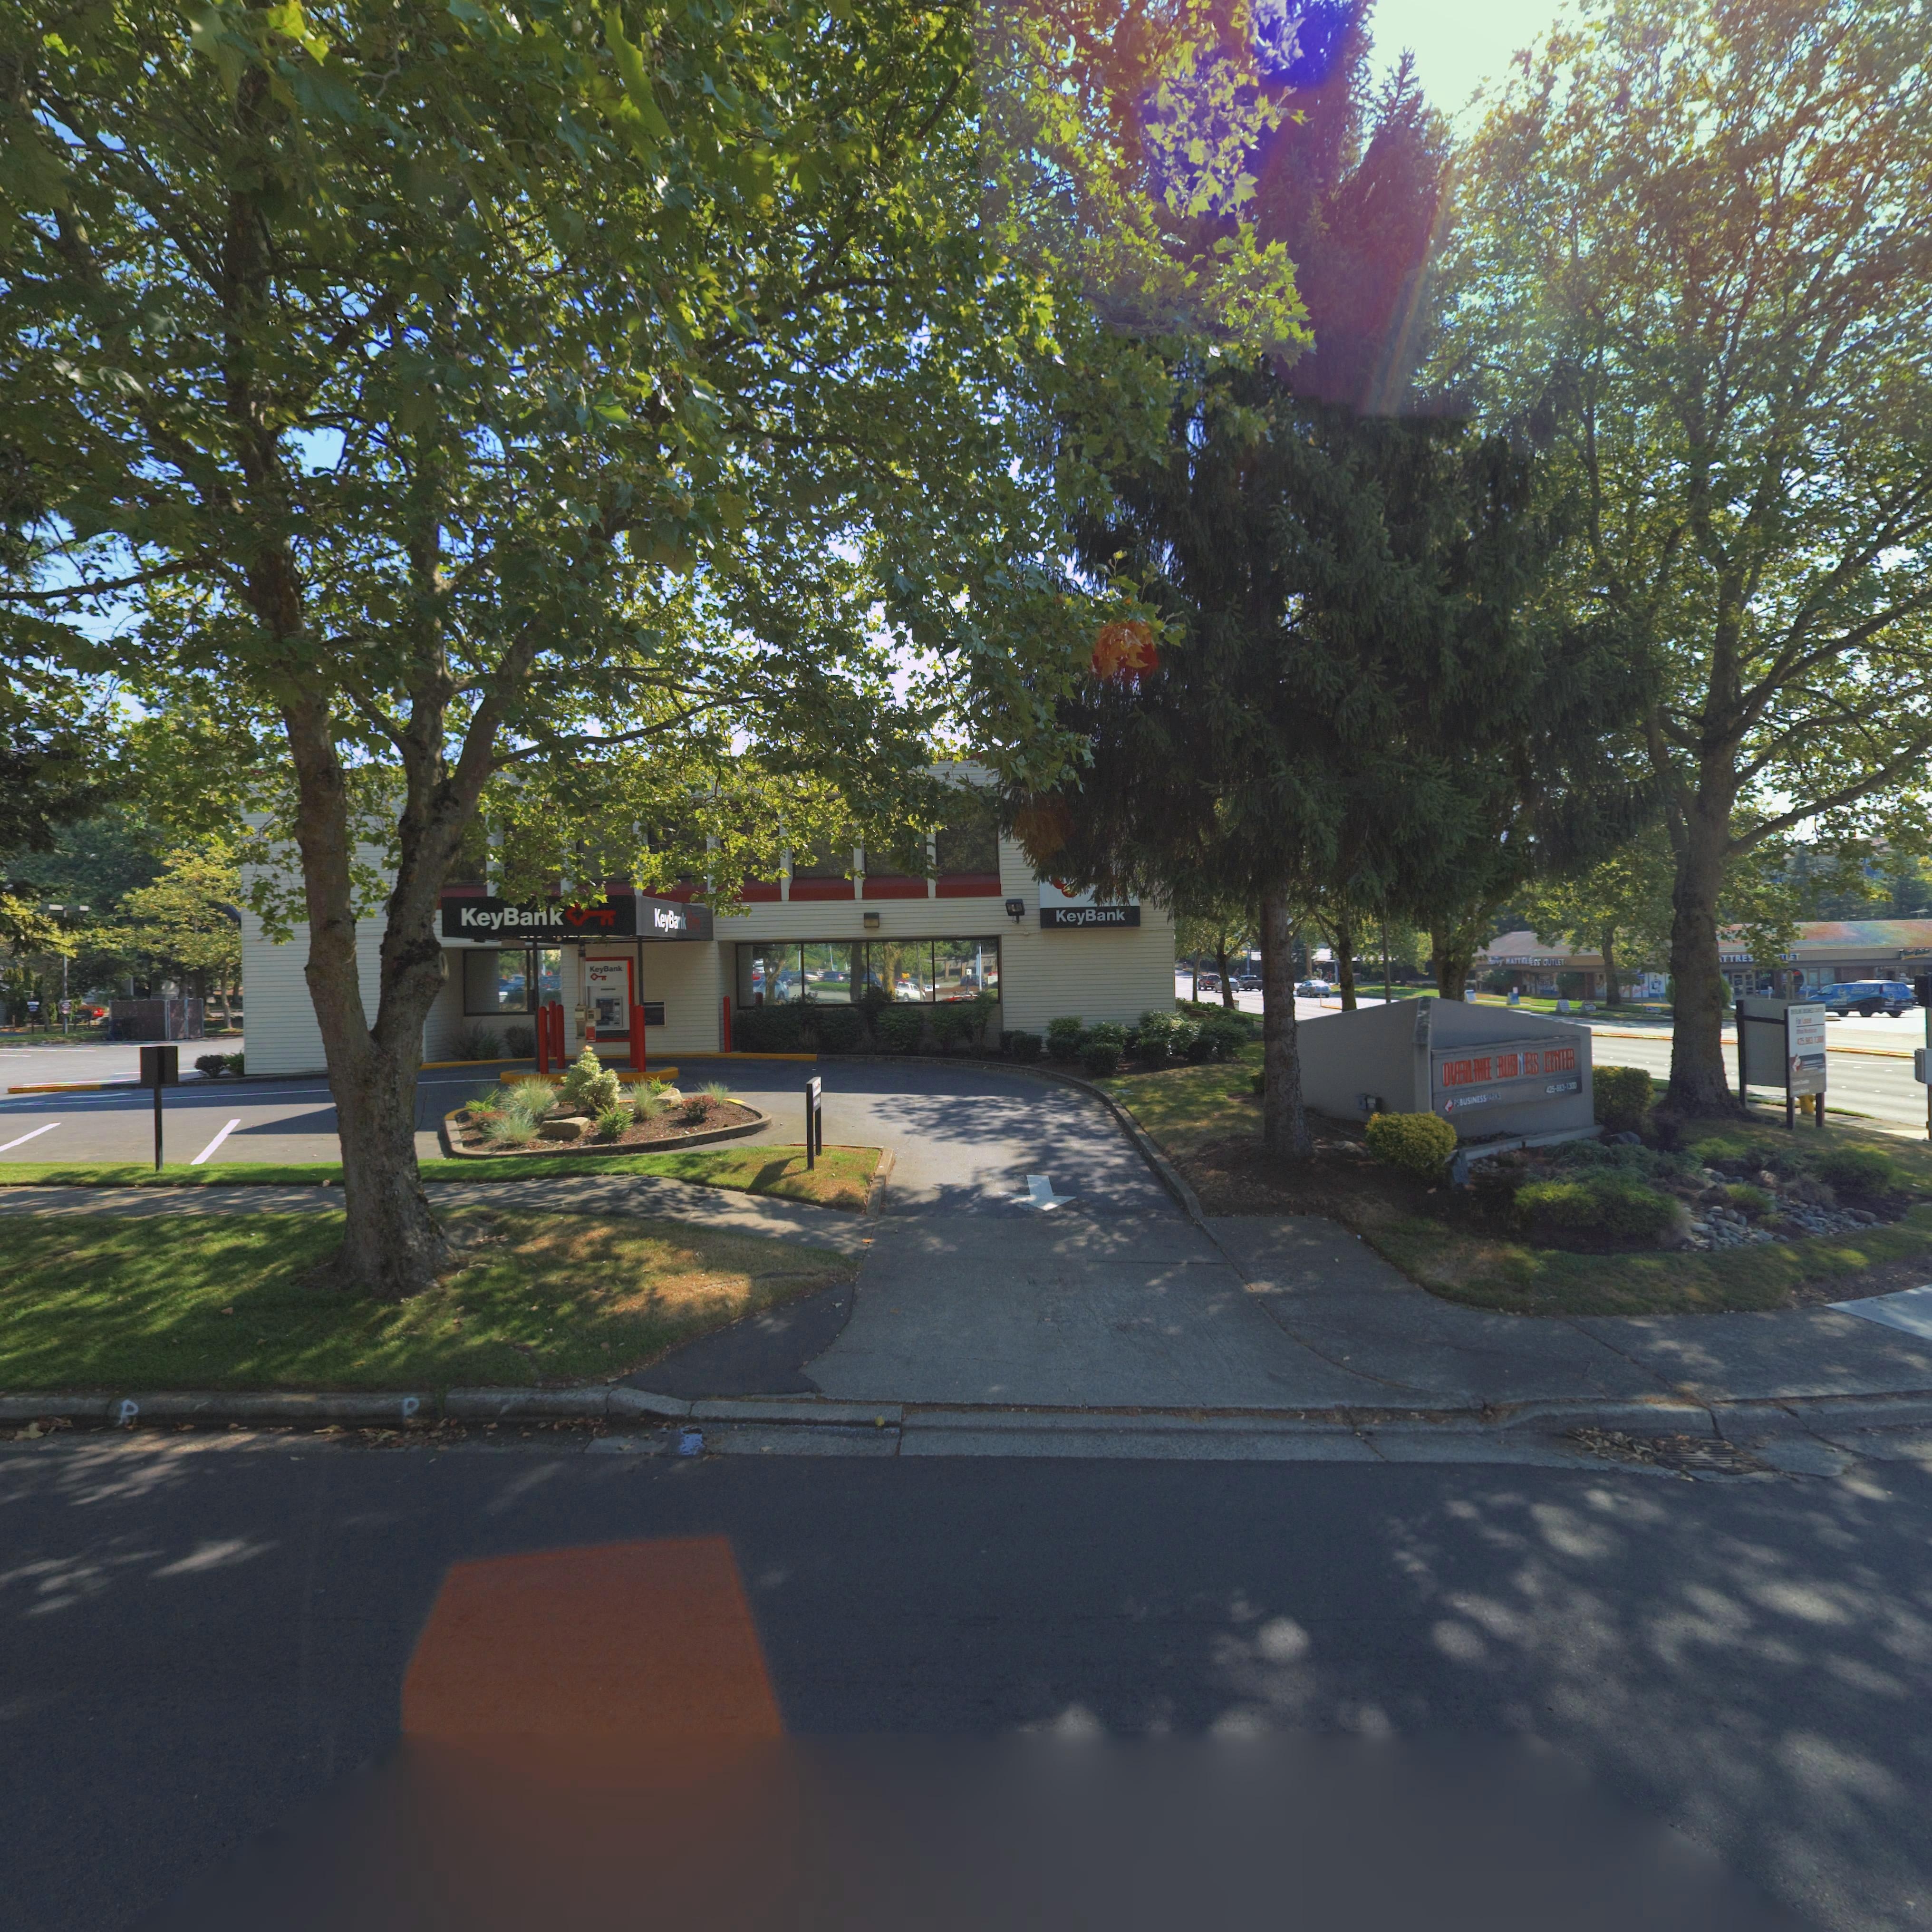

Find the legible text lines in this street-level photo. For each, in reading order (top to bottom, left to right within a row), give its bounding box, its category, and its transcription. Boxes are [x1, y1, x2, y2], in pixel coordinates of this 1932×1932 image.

[462, 908, 562, 929] BusinessName: KeyBank
[653, 907, 688, 933] BusinessName: KeyBank
[1054, 908, 1127, 927] BusinessName: KeyBank
[589, 965, 623, 974] BusinessName: KeyBank
[1540, 956, 1566, 968] BusinessName: OUTLET
[1439, 1044, 1577, 1088] BusinessName: OVERLAKE BUSINESS CENTER
[1452, 1089, 1503, 1107] BusinessName: PSBUSINESSPARKS